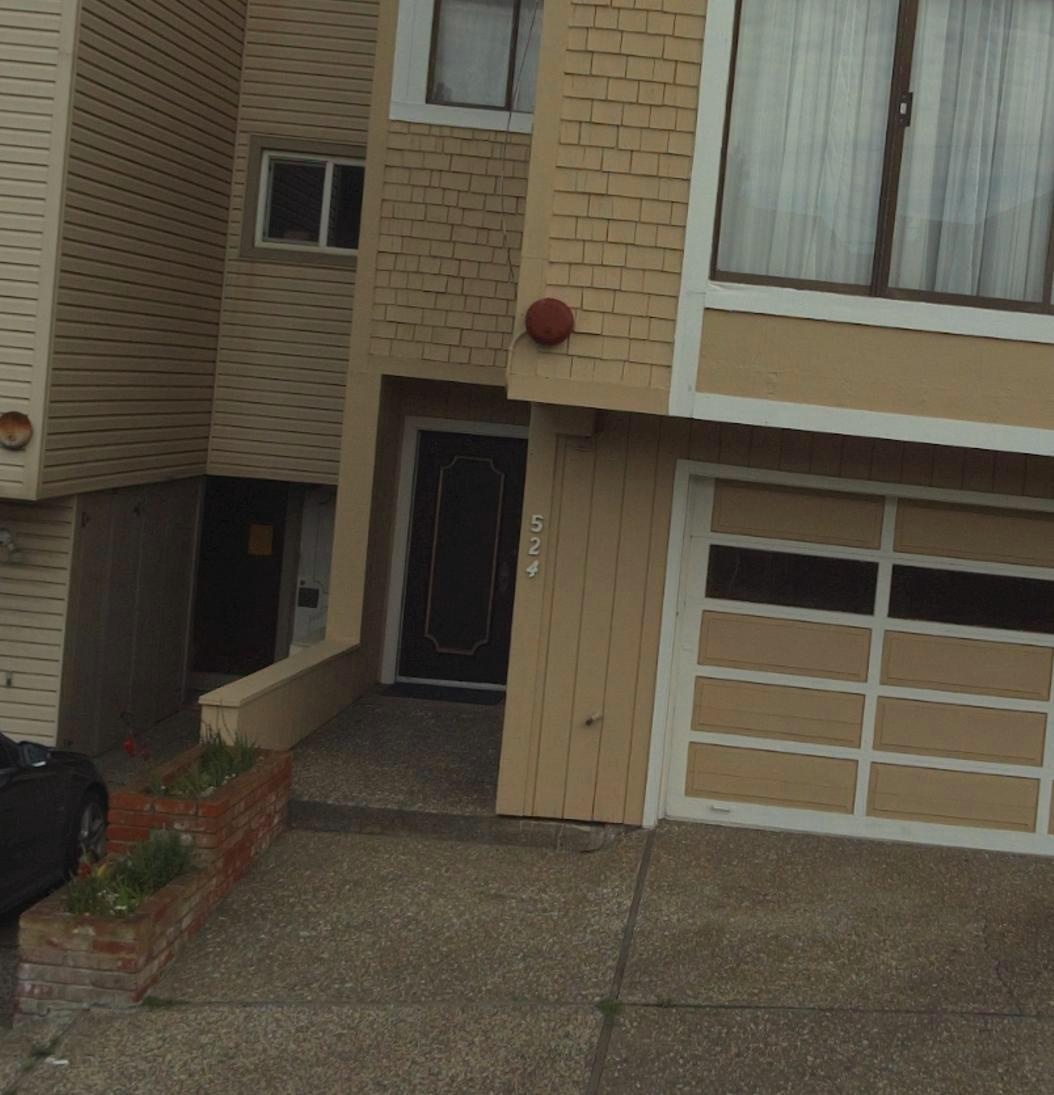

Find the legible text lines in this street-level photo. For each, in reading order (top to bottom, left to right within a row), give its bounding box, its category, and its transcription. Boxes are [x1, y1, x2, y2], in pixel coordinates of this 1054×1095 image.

[525, 513, 545, 579] StreetNumber: 524